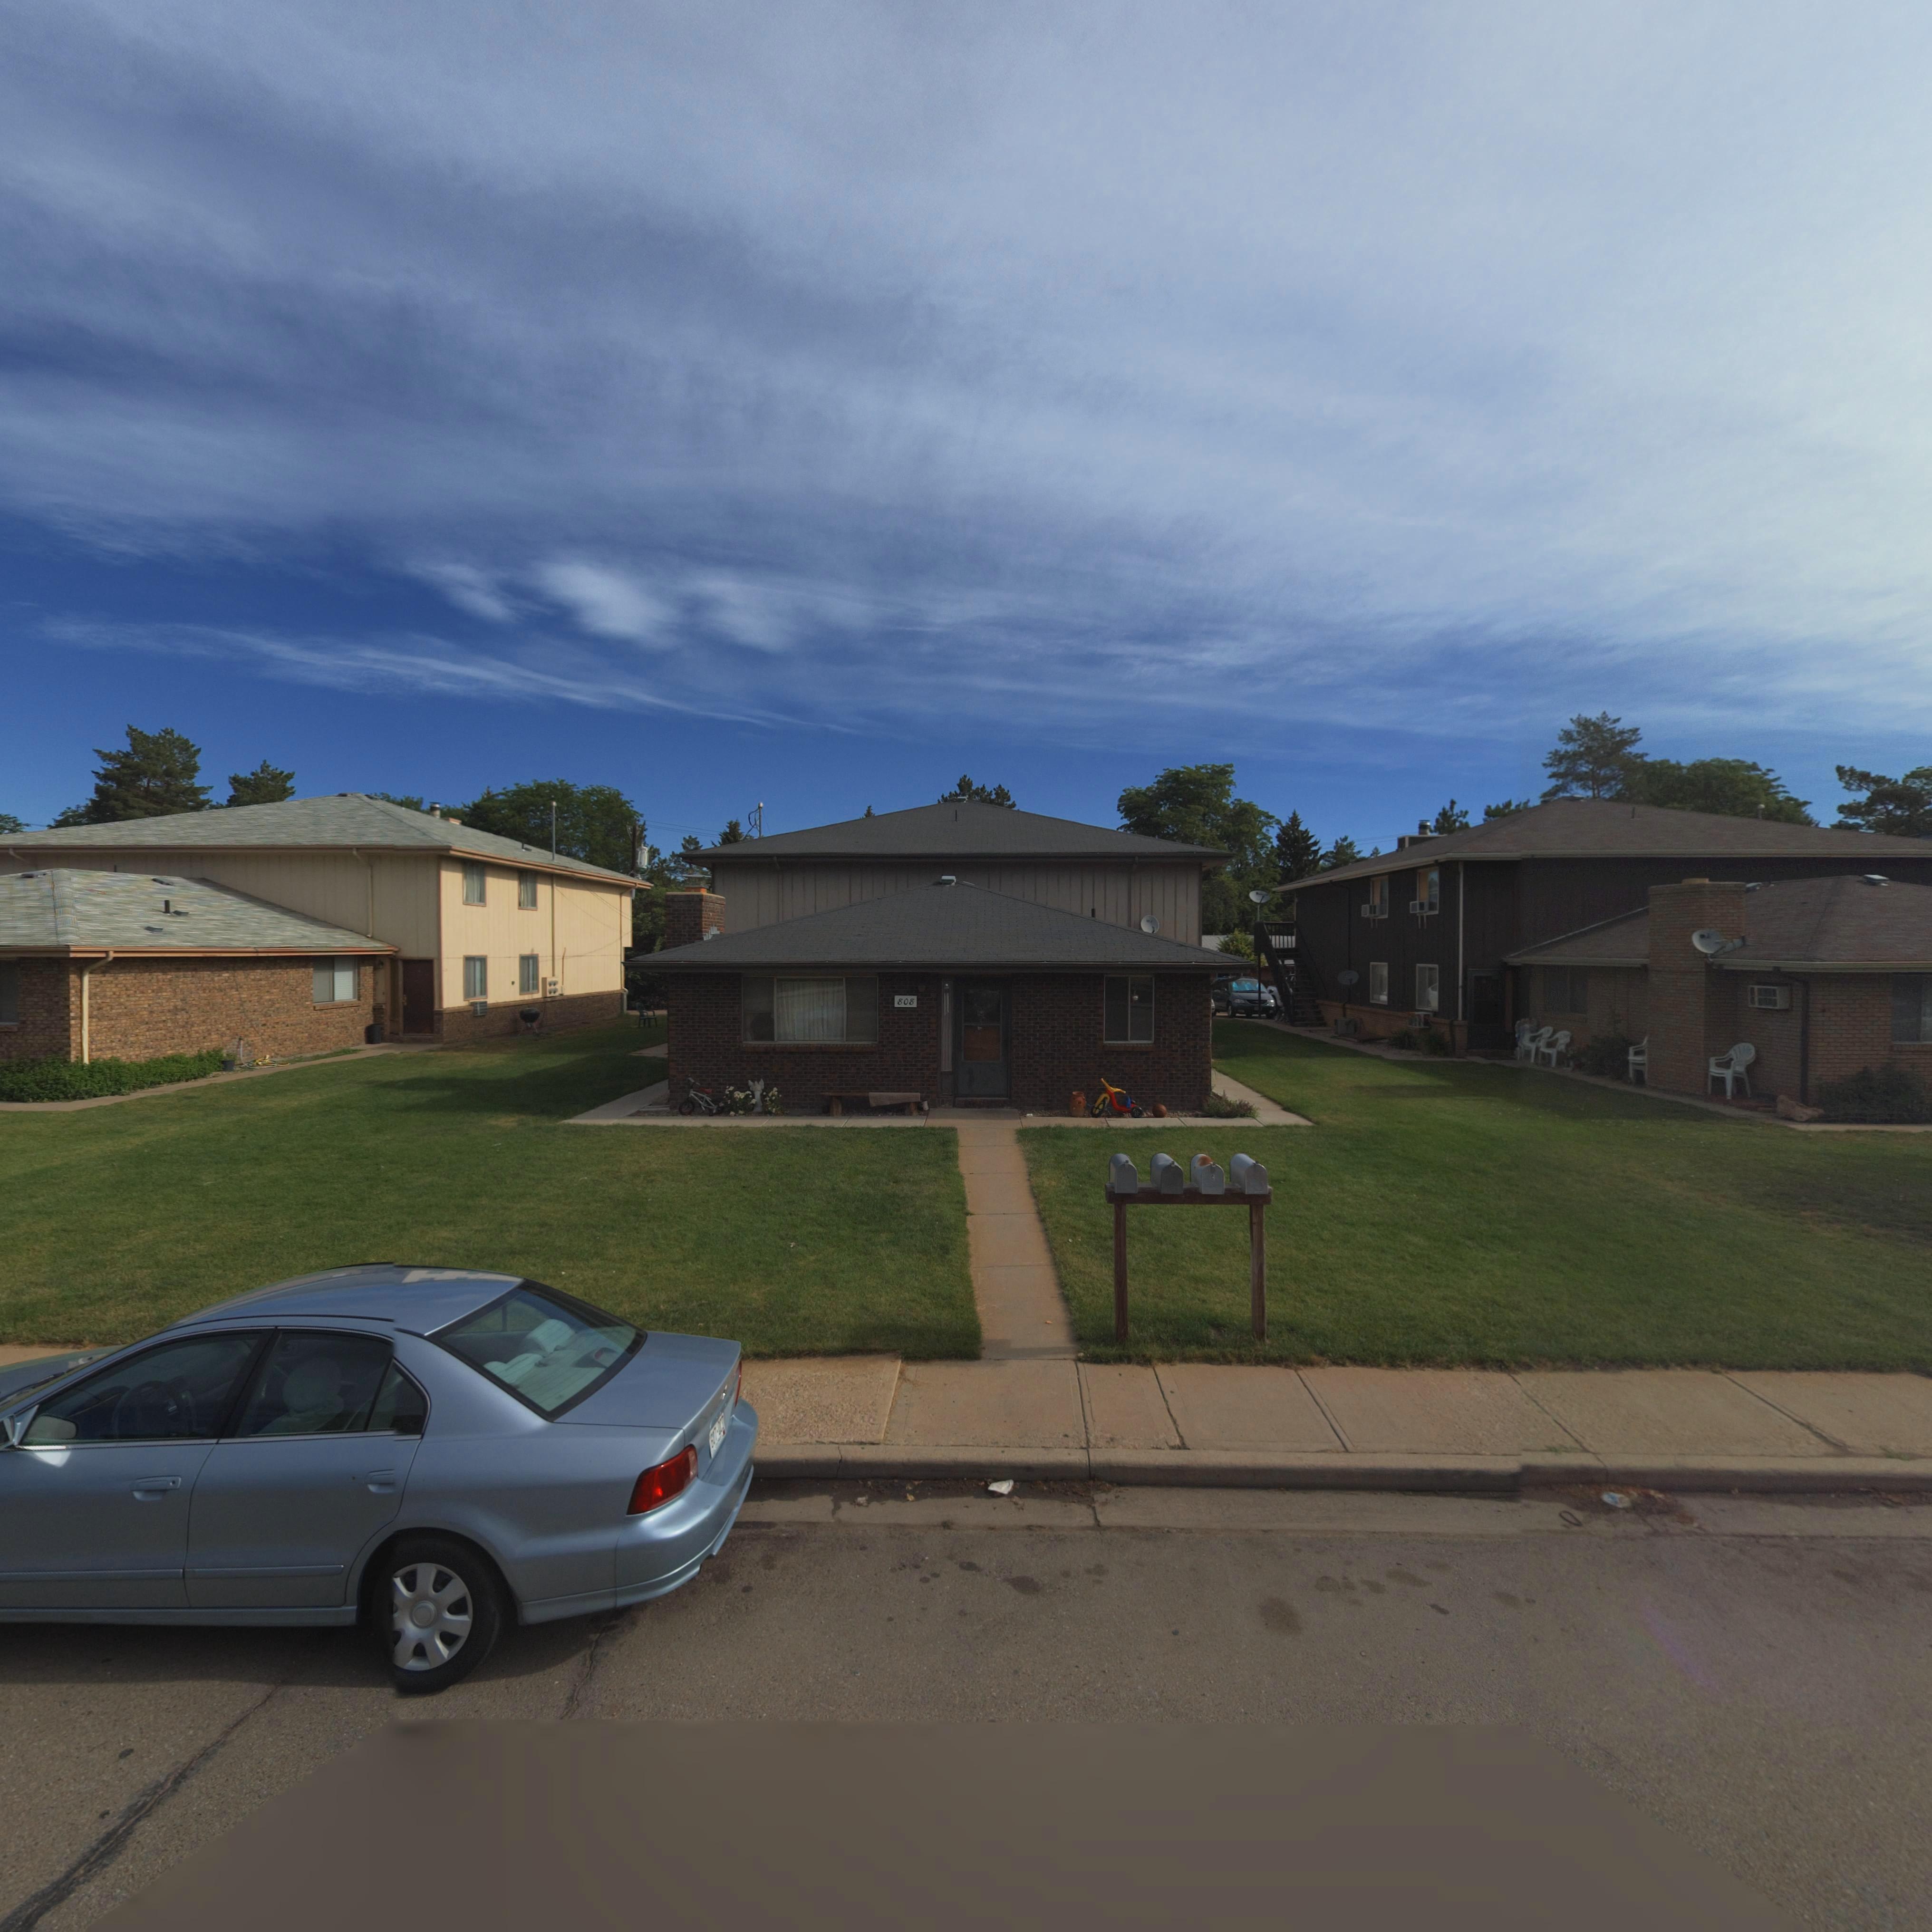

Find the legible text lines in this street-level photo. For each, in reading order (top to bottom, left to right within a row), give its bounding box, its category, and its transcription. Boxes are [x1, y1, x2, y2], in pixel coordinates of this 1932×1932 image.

[895, 997, 915, 1005] StreetNumber: 808